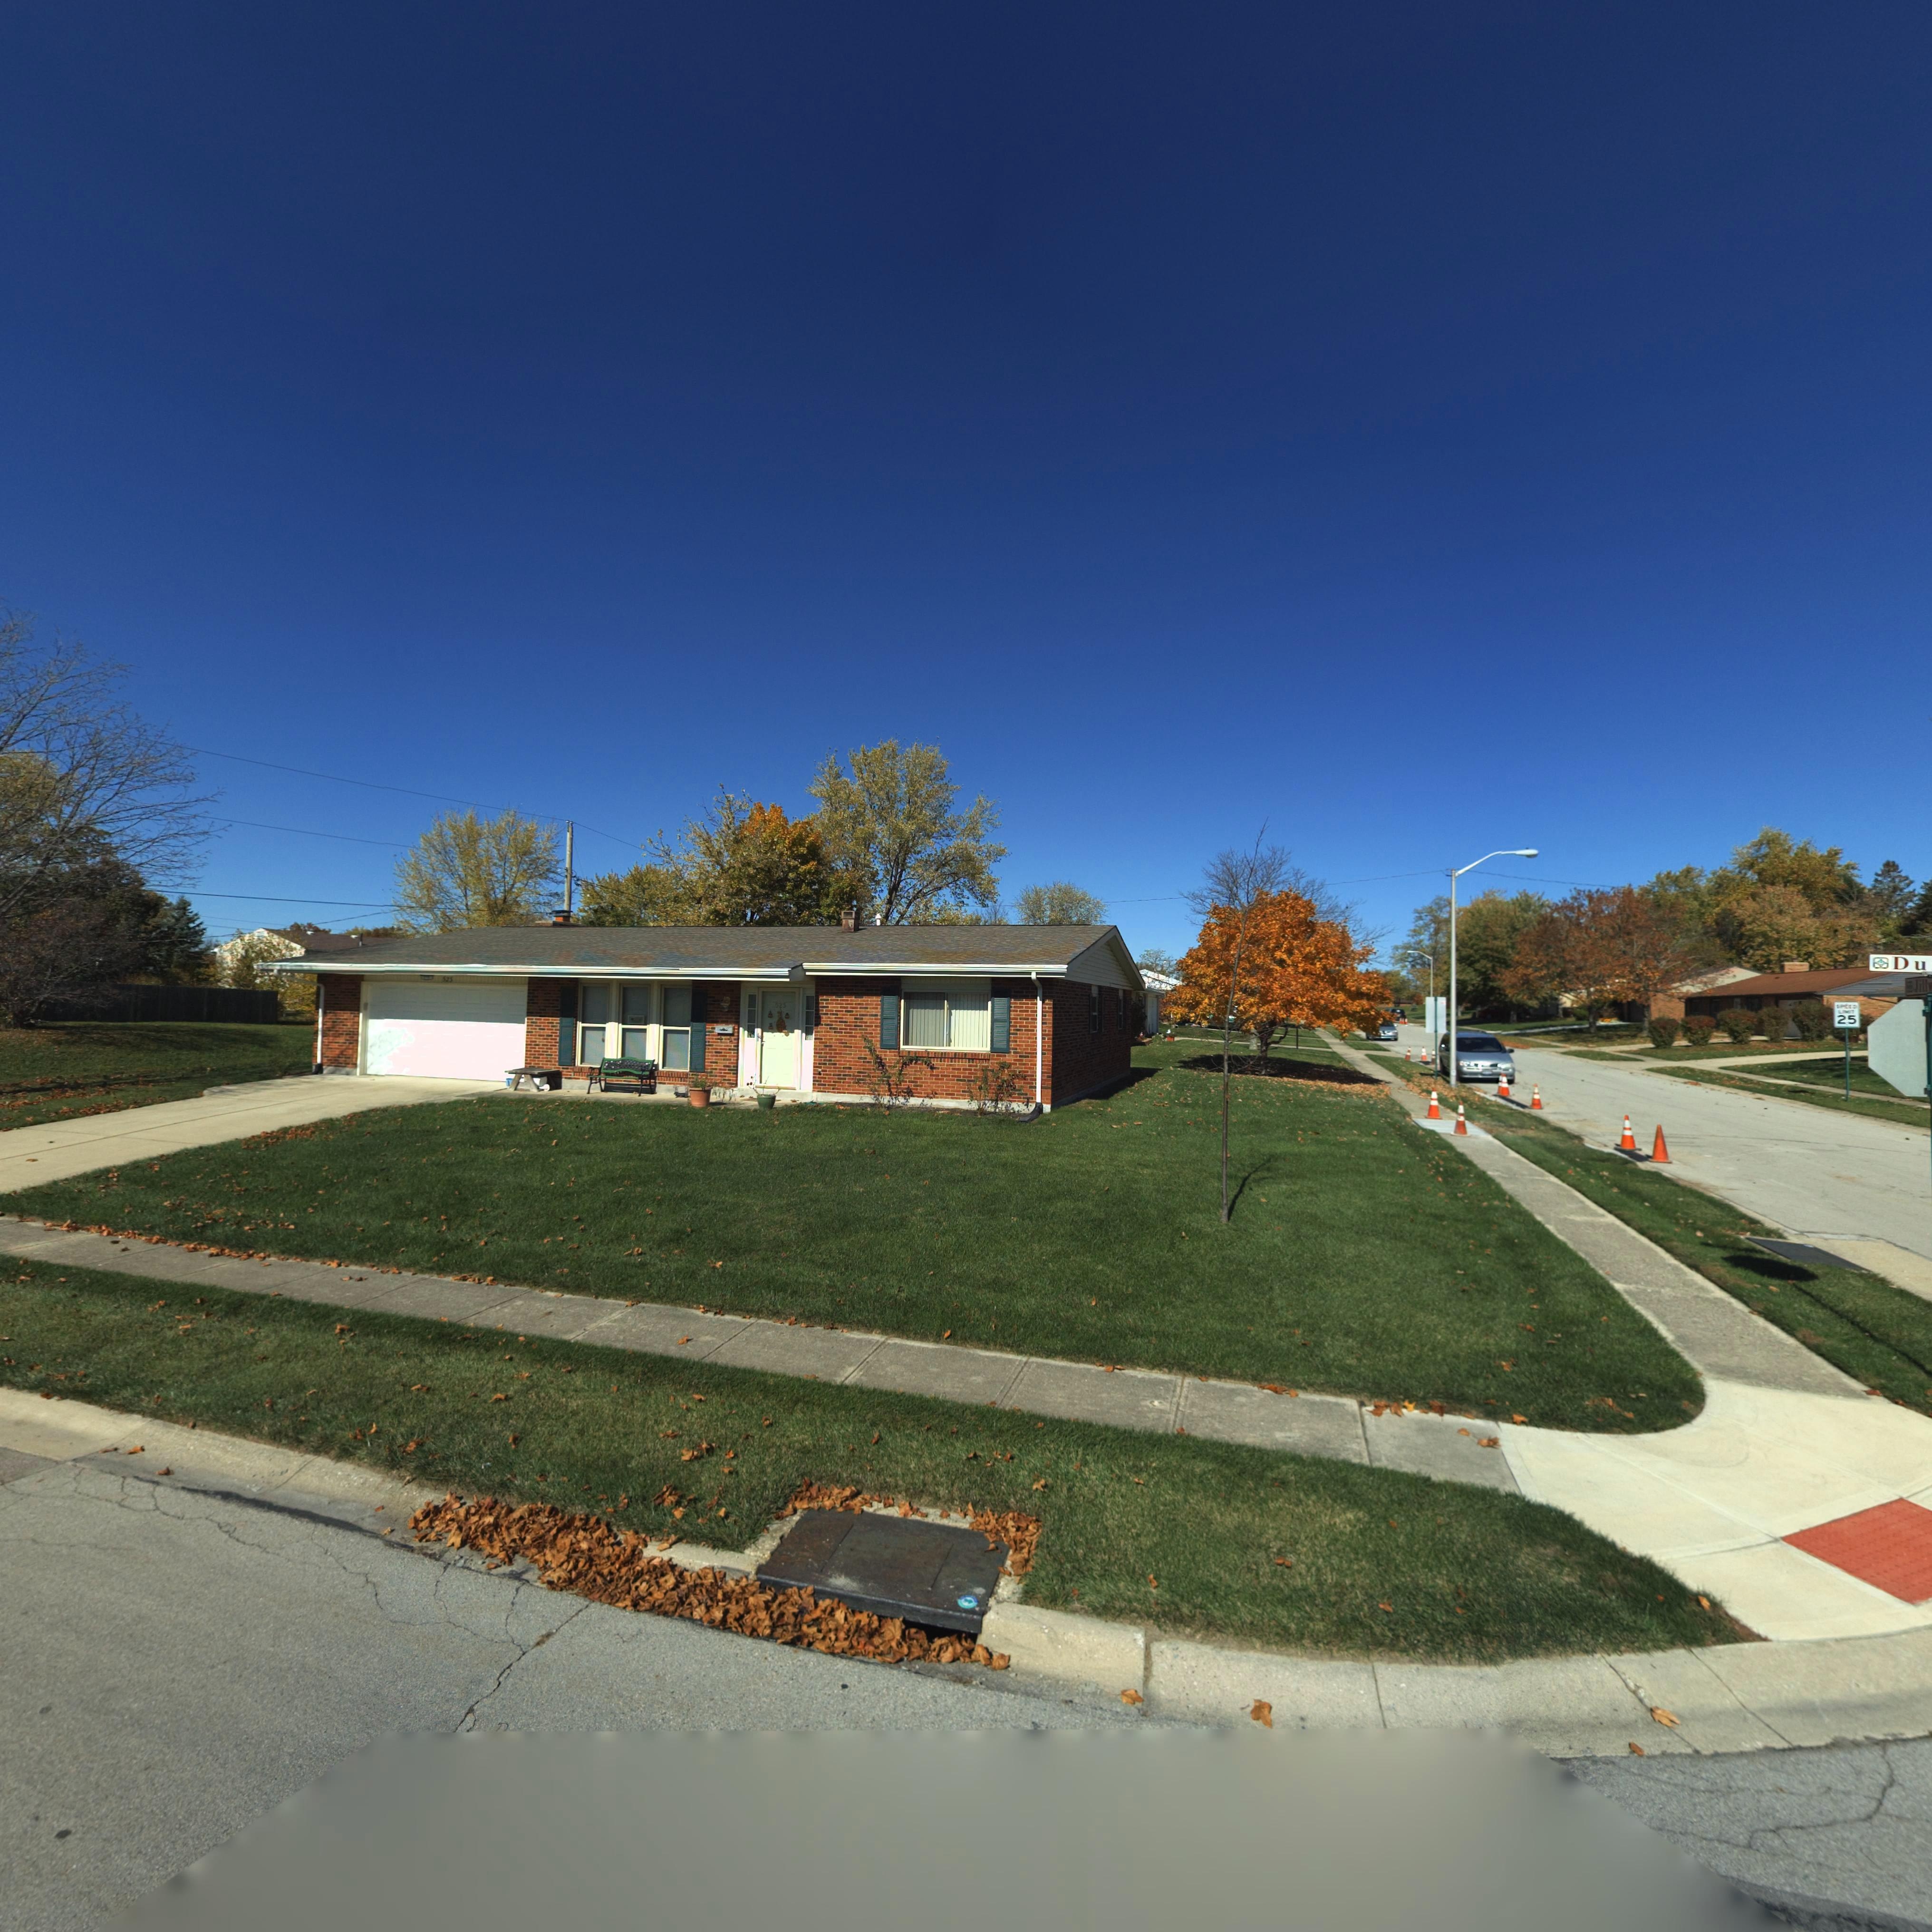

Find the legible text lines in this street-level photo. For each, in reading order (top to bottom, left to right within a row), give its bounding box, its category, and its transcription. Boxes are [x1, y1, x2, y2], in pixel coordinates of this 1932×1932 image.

[1892, 956, 1928, 971] StreetName: Du
[442, 976, 454, 983] StreetNumber: 52*
[774, 1001, 787, 1009] StreetNumber: 52*